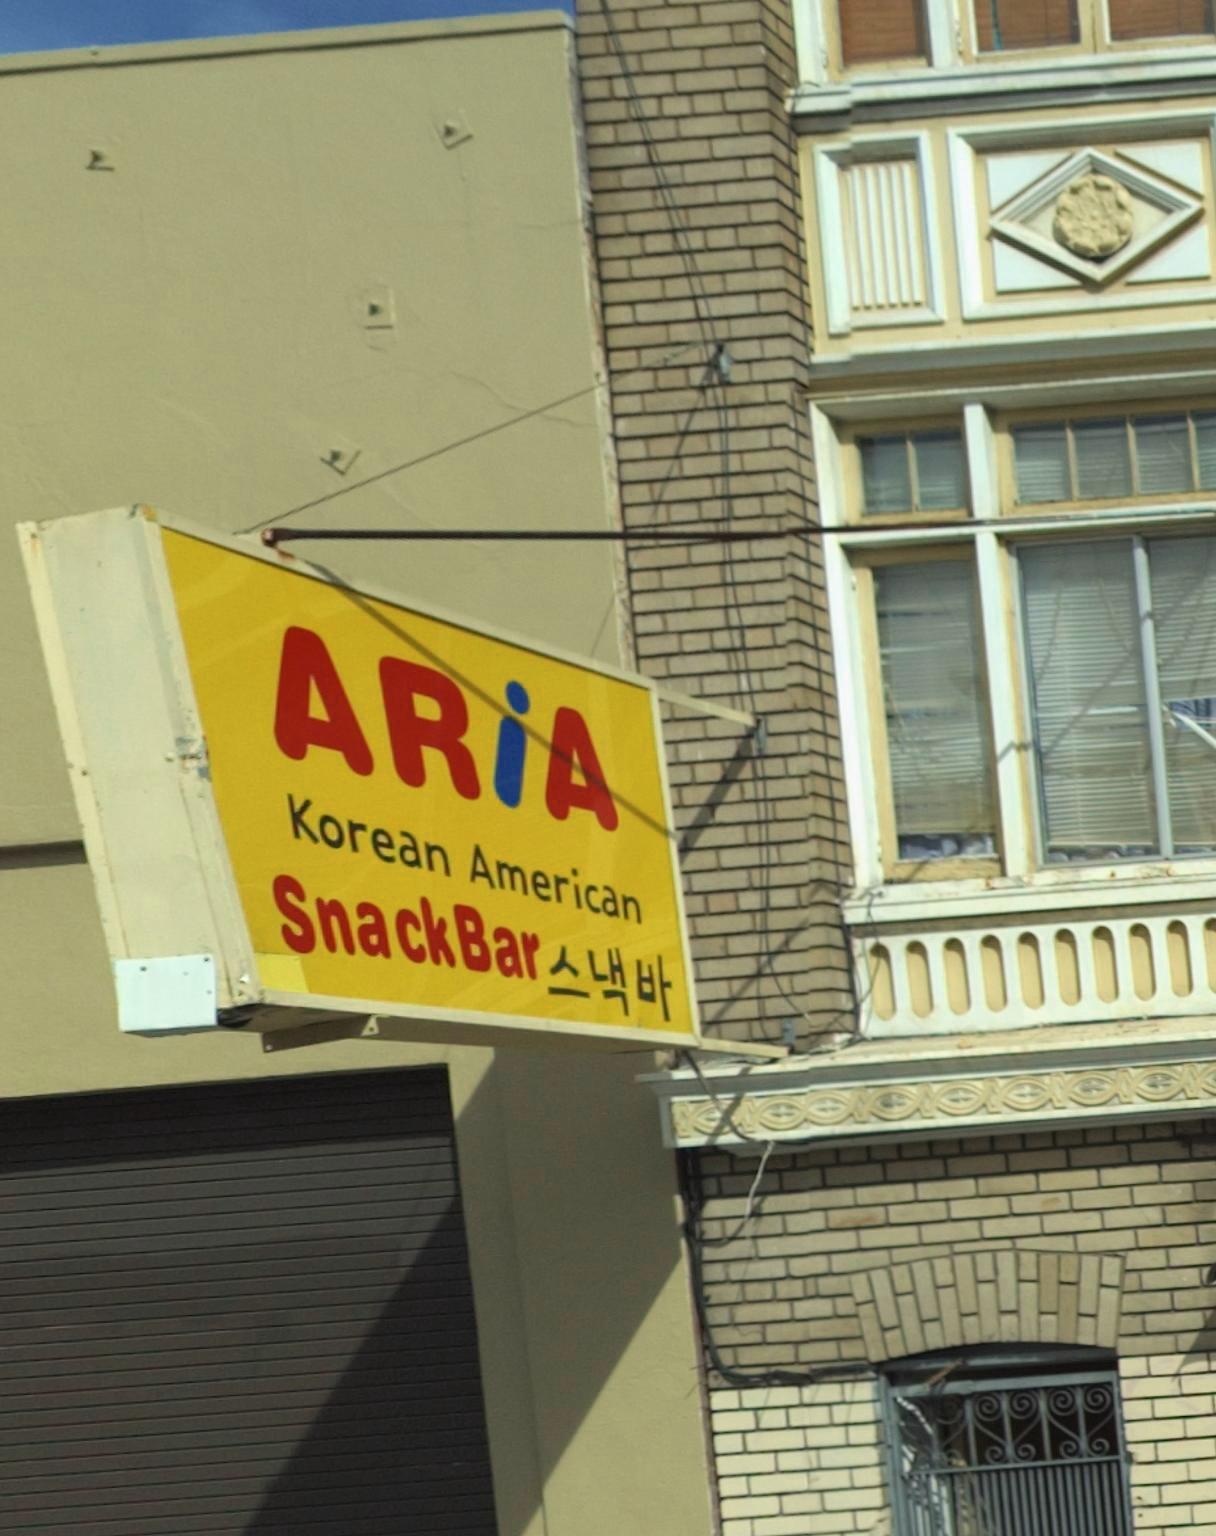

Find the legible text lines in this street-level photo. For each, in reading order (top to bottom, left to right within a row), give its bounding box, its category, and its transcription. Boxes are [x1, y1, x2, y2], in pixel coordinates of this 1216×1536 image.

[263, 615, 629, 839] BusinessName: ARiA
[262, 868, 544, 985] BusinessName: Snack Bar
[280, 788, 647, 931] BusinessName: Korean American